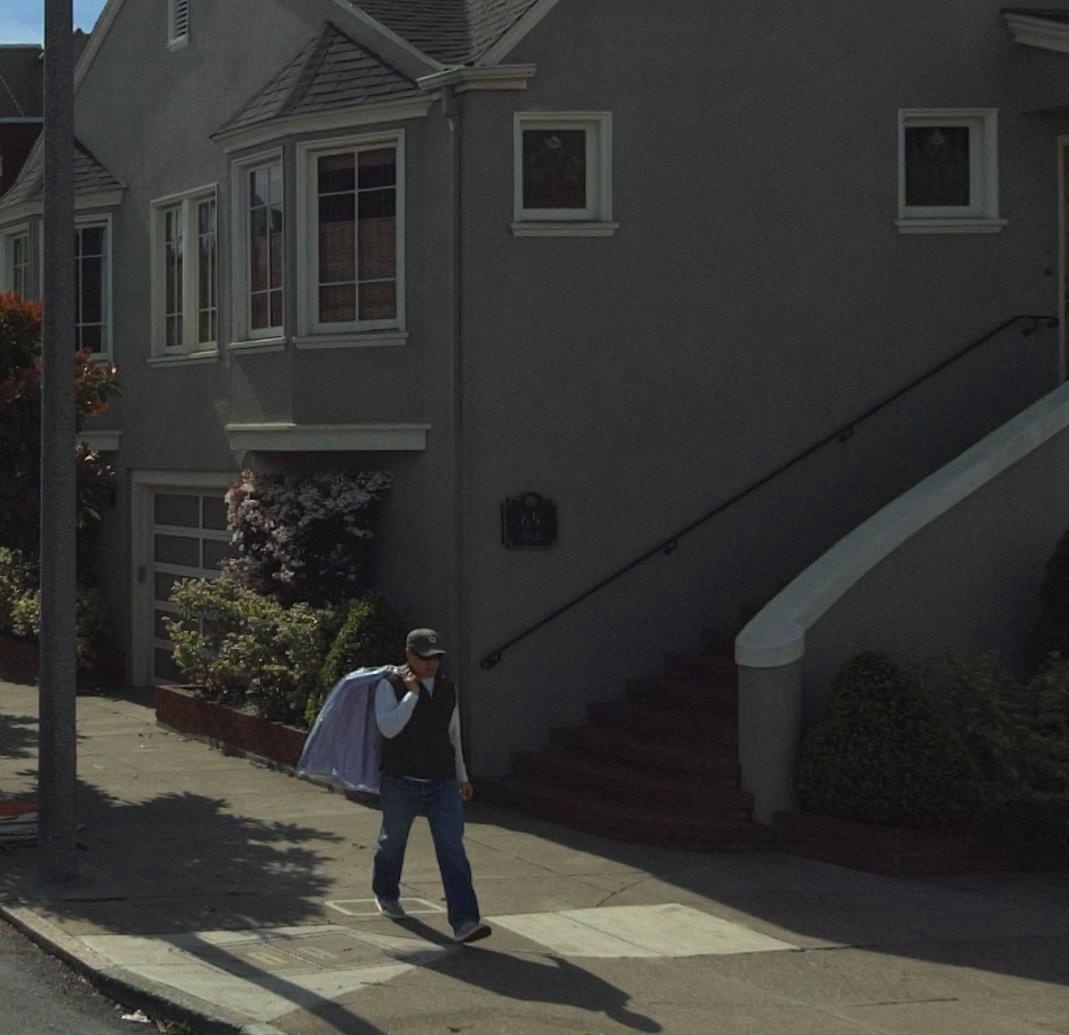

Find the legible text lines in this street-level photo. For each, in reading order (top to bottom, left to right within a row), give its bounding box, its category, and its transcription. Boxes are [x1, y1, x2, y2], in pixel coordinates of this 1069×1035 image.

[518, 509, 543, 532] StreetNumber: 65